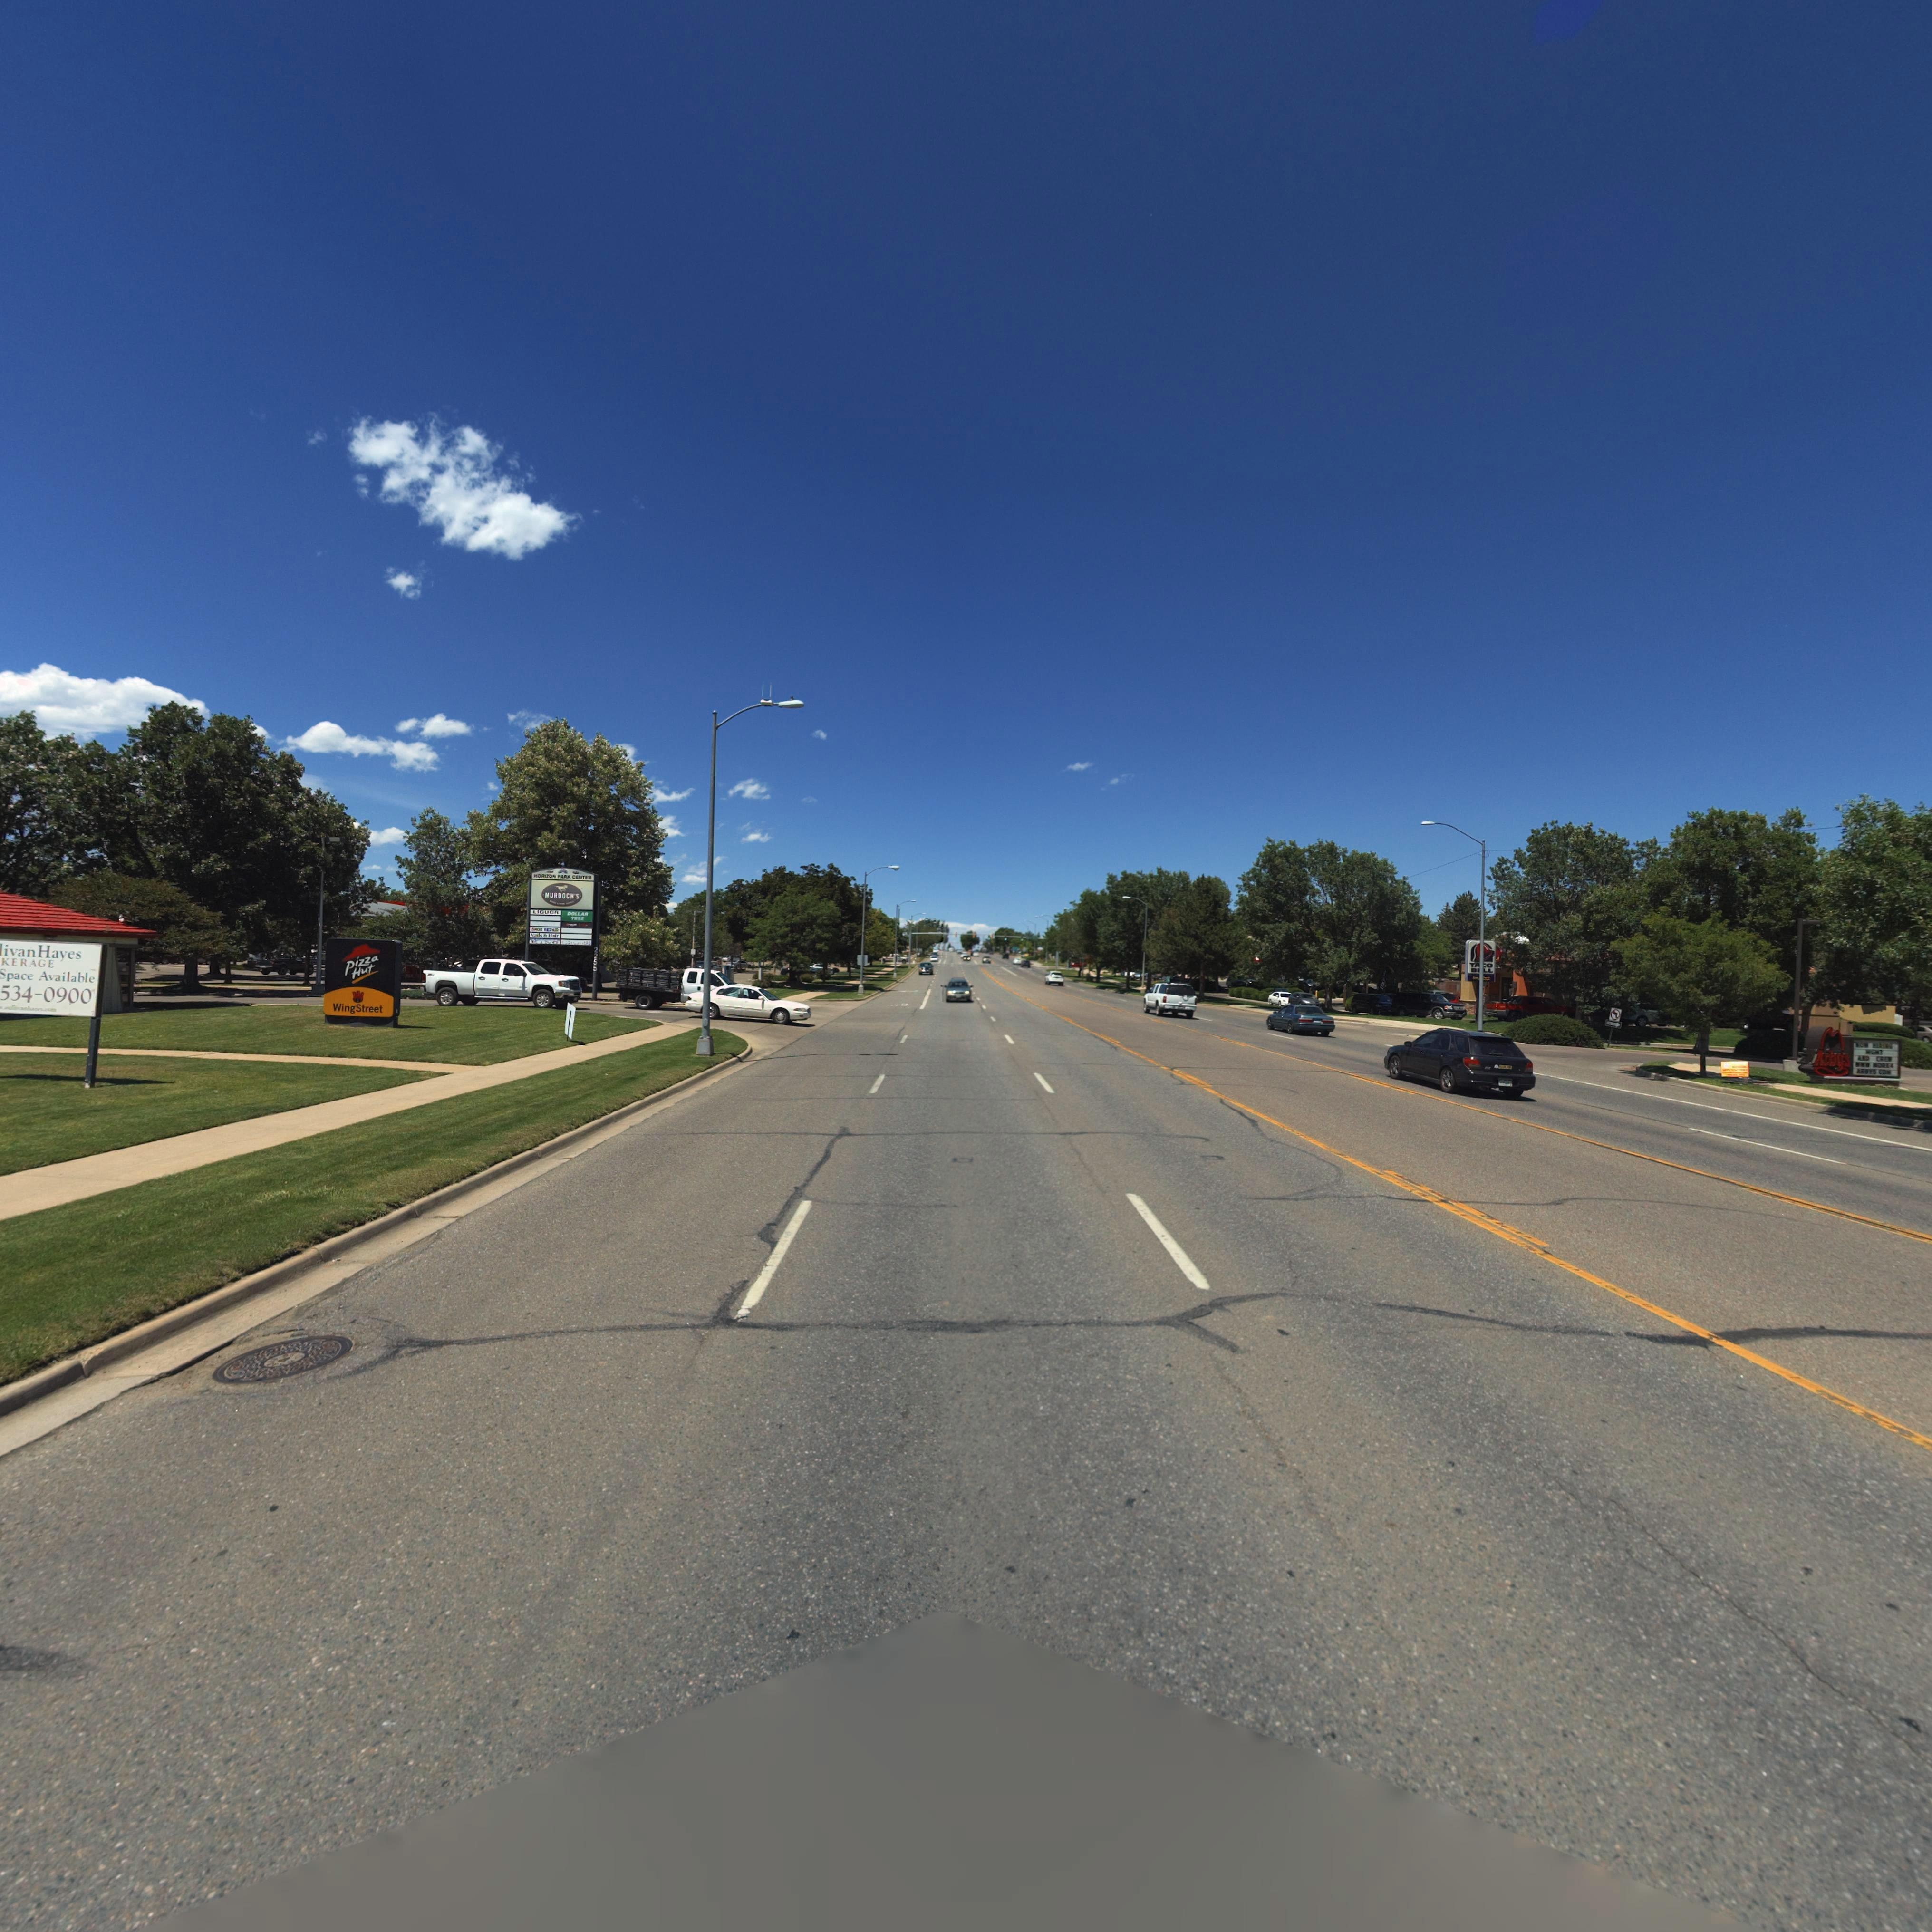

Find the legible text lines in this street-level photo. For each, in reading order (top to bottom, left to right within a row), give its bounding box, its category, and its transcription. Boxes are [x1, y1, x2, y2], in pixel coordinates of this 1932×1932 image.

[545, 892, 580, 899] BusinessName: MURDOCH'S
[567, 911, 588, 916] BusinessName: DOLLAR
[570, 916, 584, 920] BusinessName: TREE
[593, 946, 598, 971] StreetNumber: 2255
[344, 955, 379, 976] BusinessName: Pizza
[351, 964, 376, 979] BusinessName: Hut
[1469, 963, 1493, 967] BusinessName: T**O
[1470, 968, 1493, 973] BusinessName: B**L
[332, 1003, 383, 1014] BusinessName: Wing Street
[1813, 1048, 1851, 1071] BusinessName: Arby*s